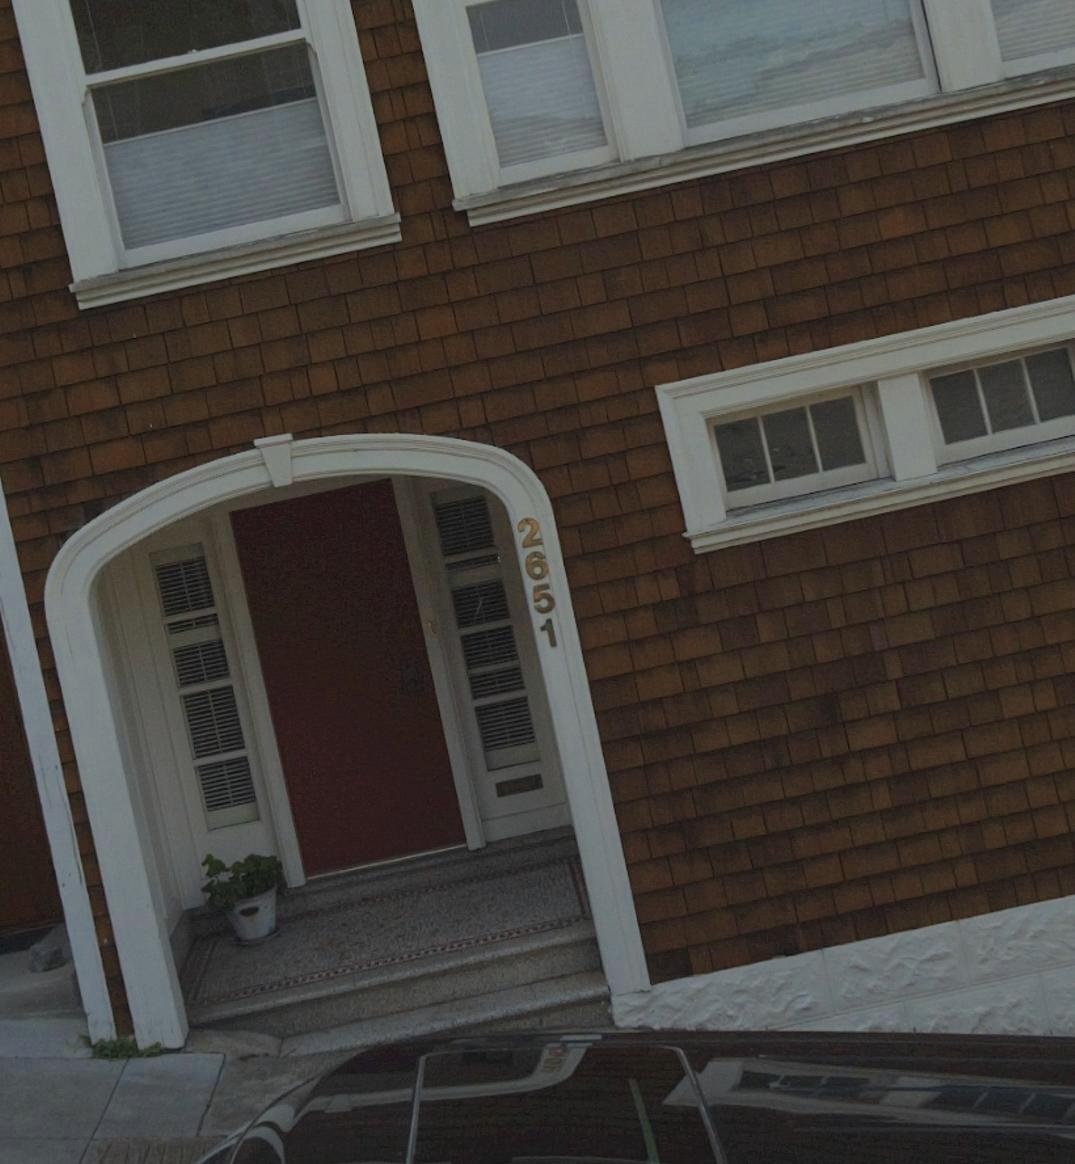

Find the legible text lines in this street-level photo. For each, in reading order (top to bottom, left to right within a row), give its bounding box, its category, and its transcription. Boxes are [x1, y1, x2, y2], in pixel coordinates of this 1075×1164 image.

[513, 514, 561, 651] StreetNumber: 2651